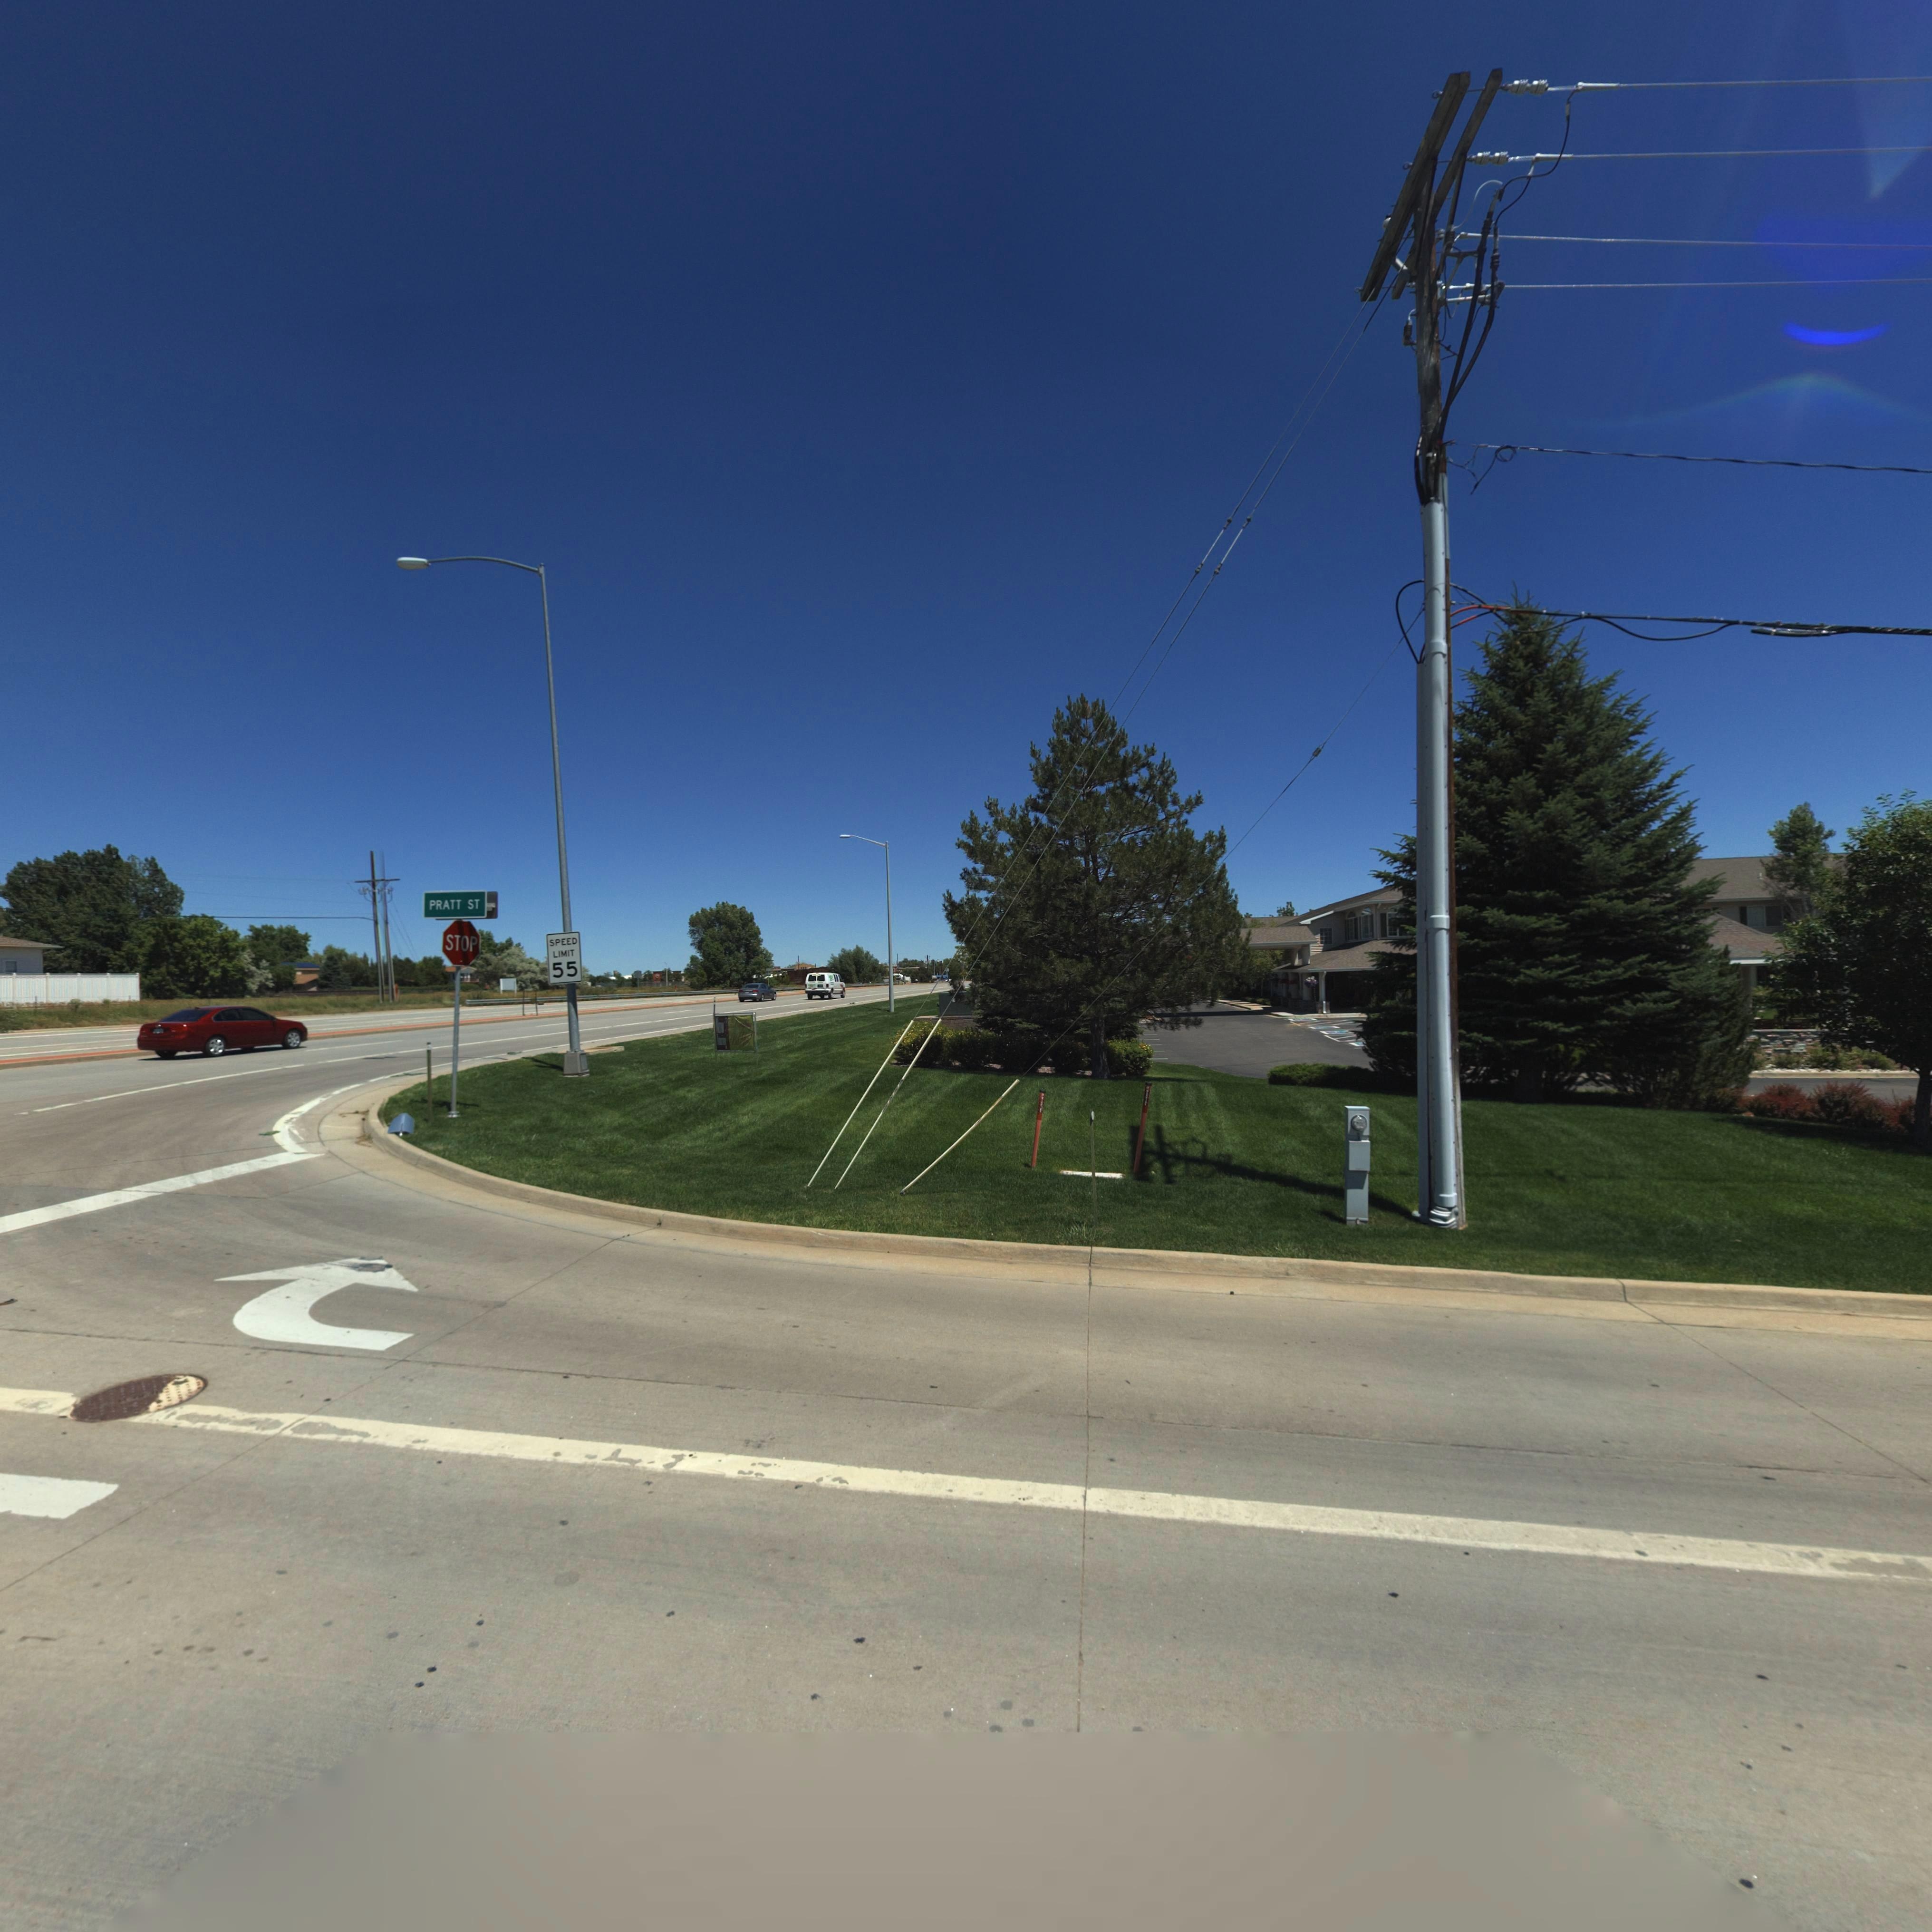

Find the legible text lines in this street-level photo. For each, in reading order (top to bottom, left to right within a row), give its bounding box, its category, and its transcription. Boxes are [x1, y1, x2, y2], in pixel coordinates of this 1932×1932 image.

[429, 898, 481, 910] StreetName: PRATT ST